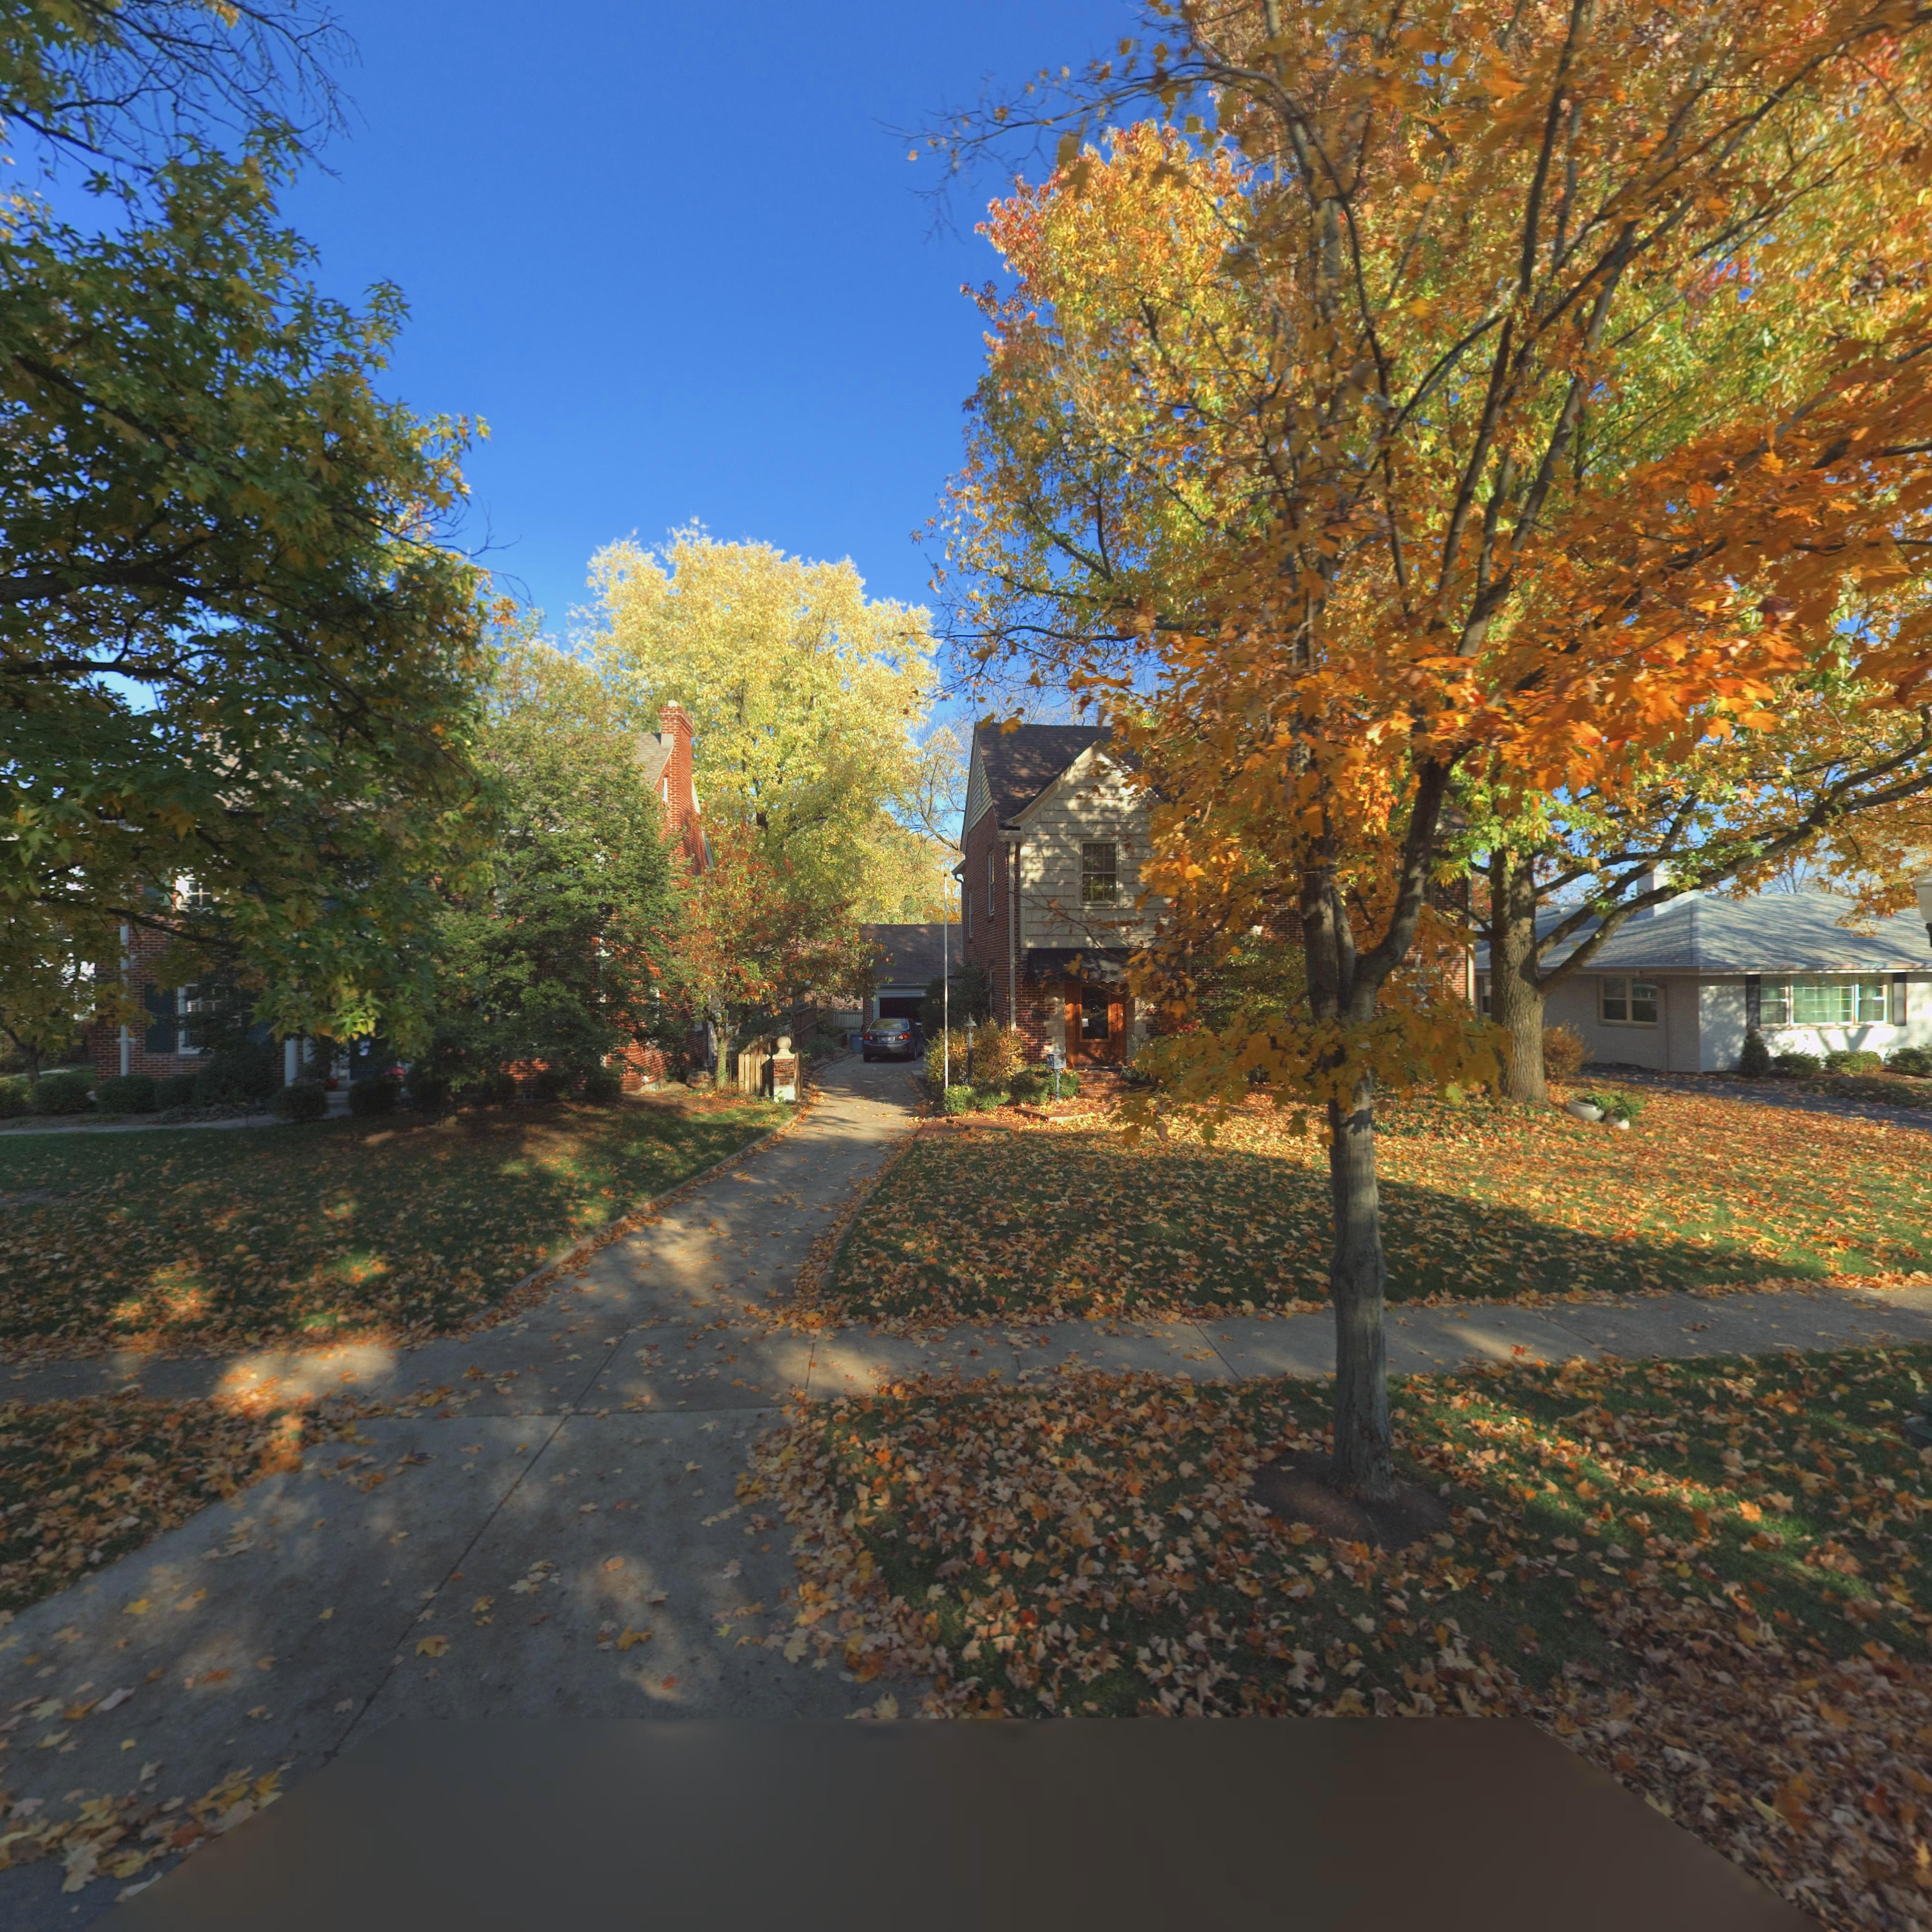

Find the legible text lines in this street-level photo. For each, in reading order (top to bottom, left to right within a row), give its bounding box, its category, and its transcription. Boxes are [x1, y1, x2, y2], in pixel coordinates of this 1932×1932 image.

[1033, 1011, 1040, 1016] StreetNumber: 559